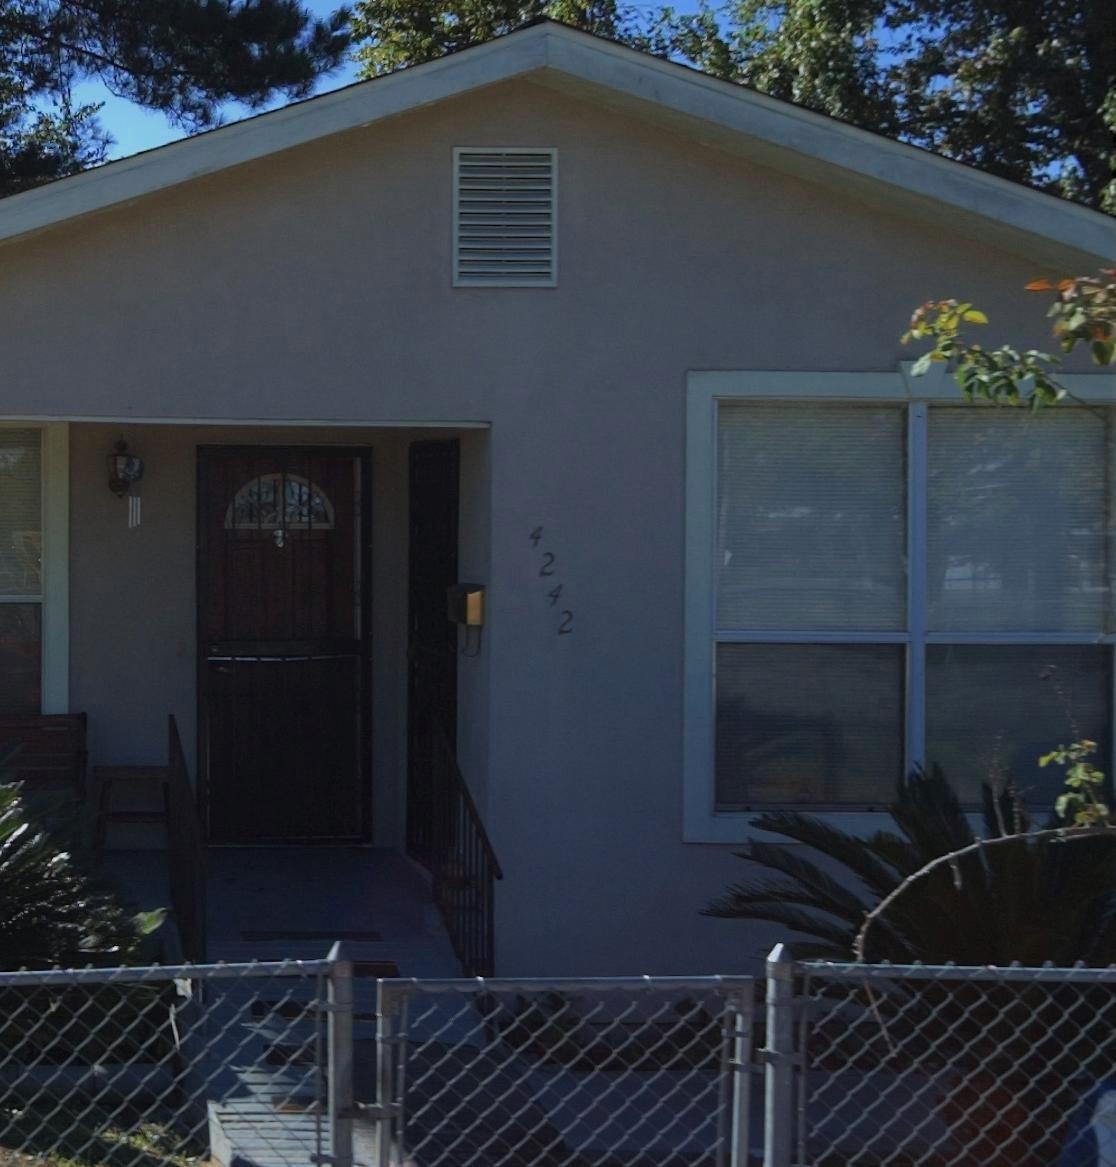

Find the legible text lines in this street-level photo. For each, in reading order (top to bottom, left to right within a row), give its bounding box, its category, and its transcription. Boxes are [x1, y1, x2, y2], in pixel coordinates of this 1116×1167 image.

[525, 523, 578, 639] StreetNumber: 4242